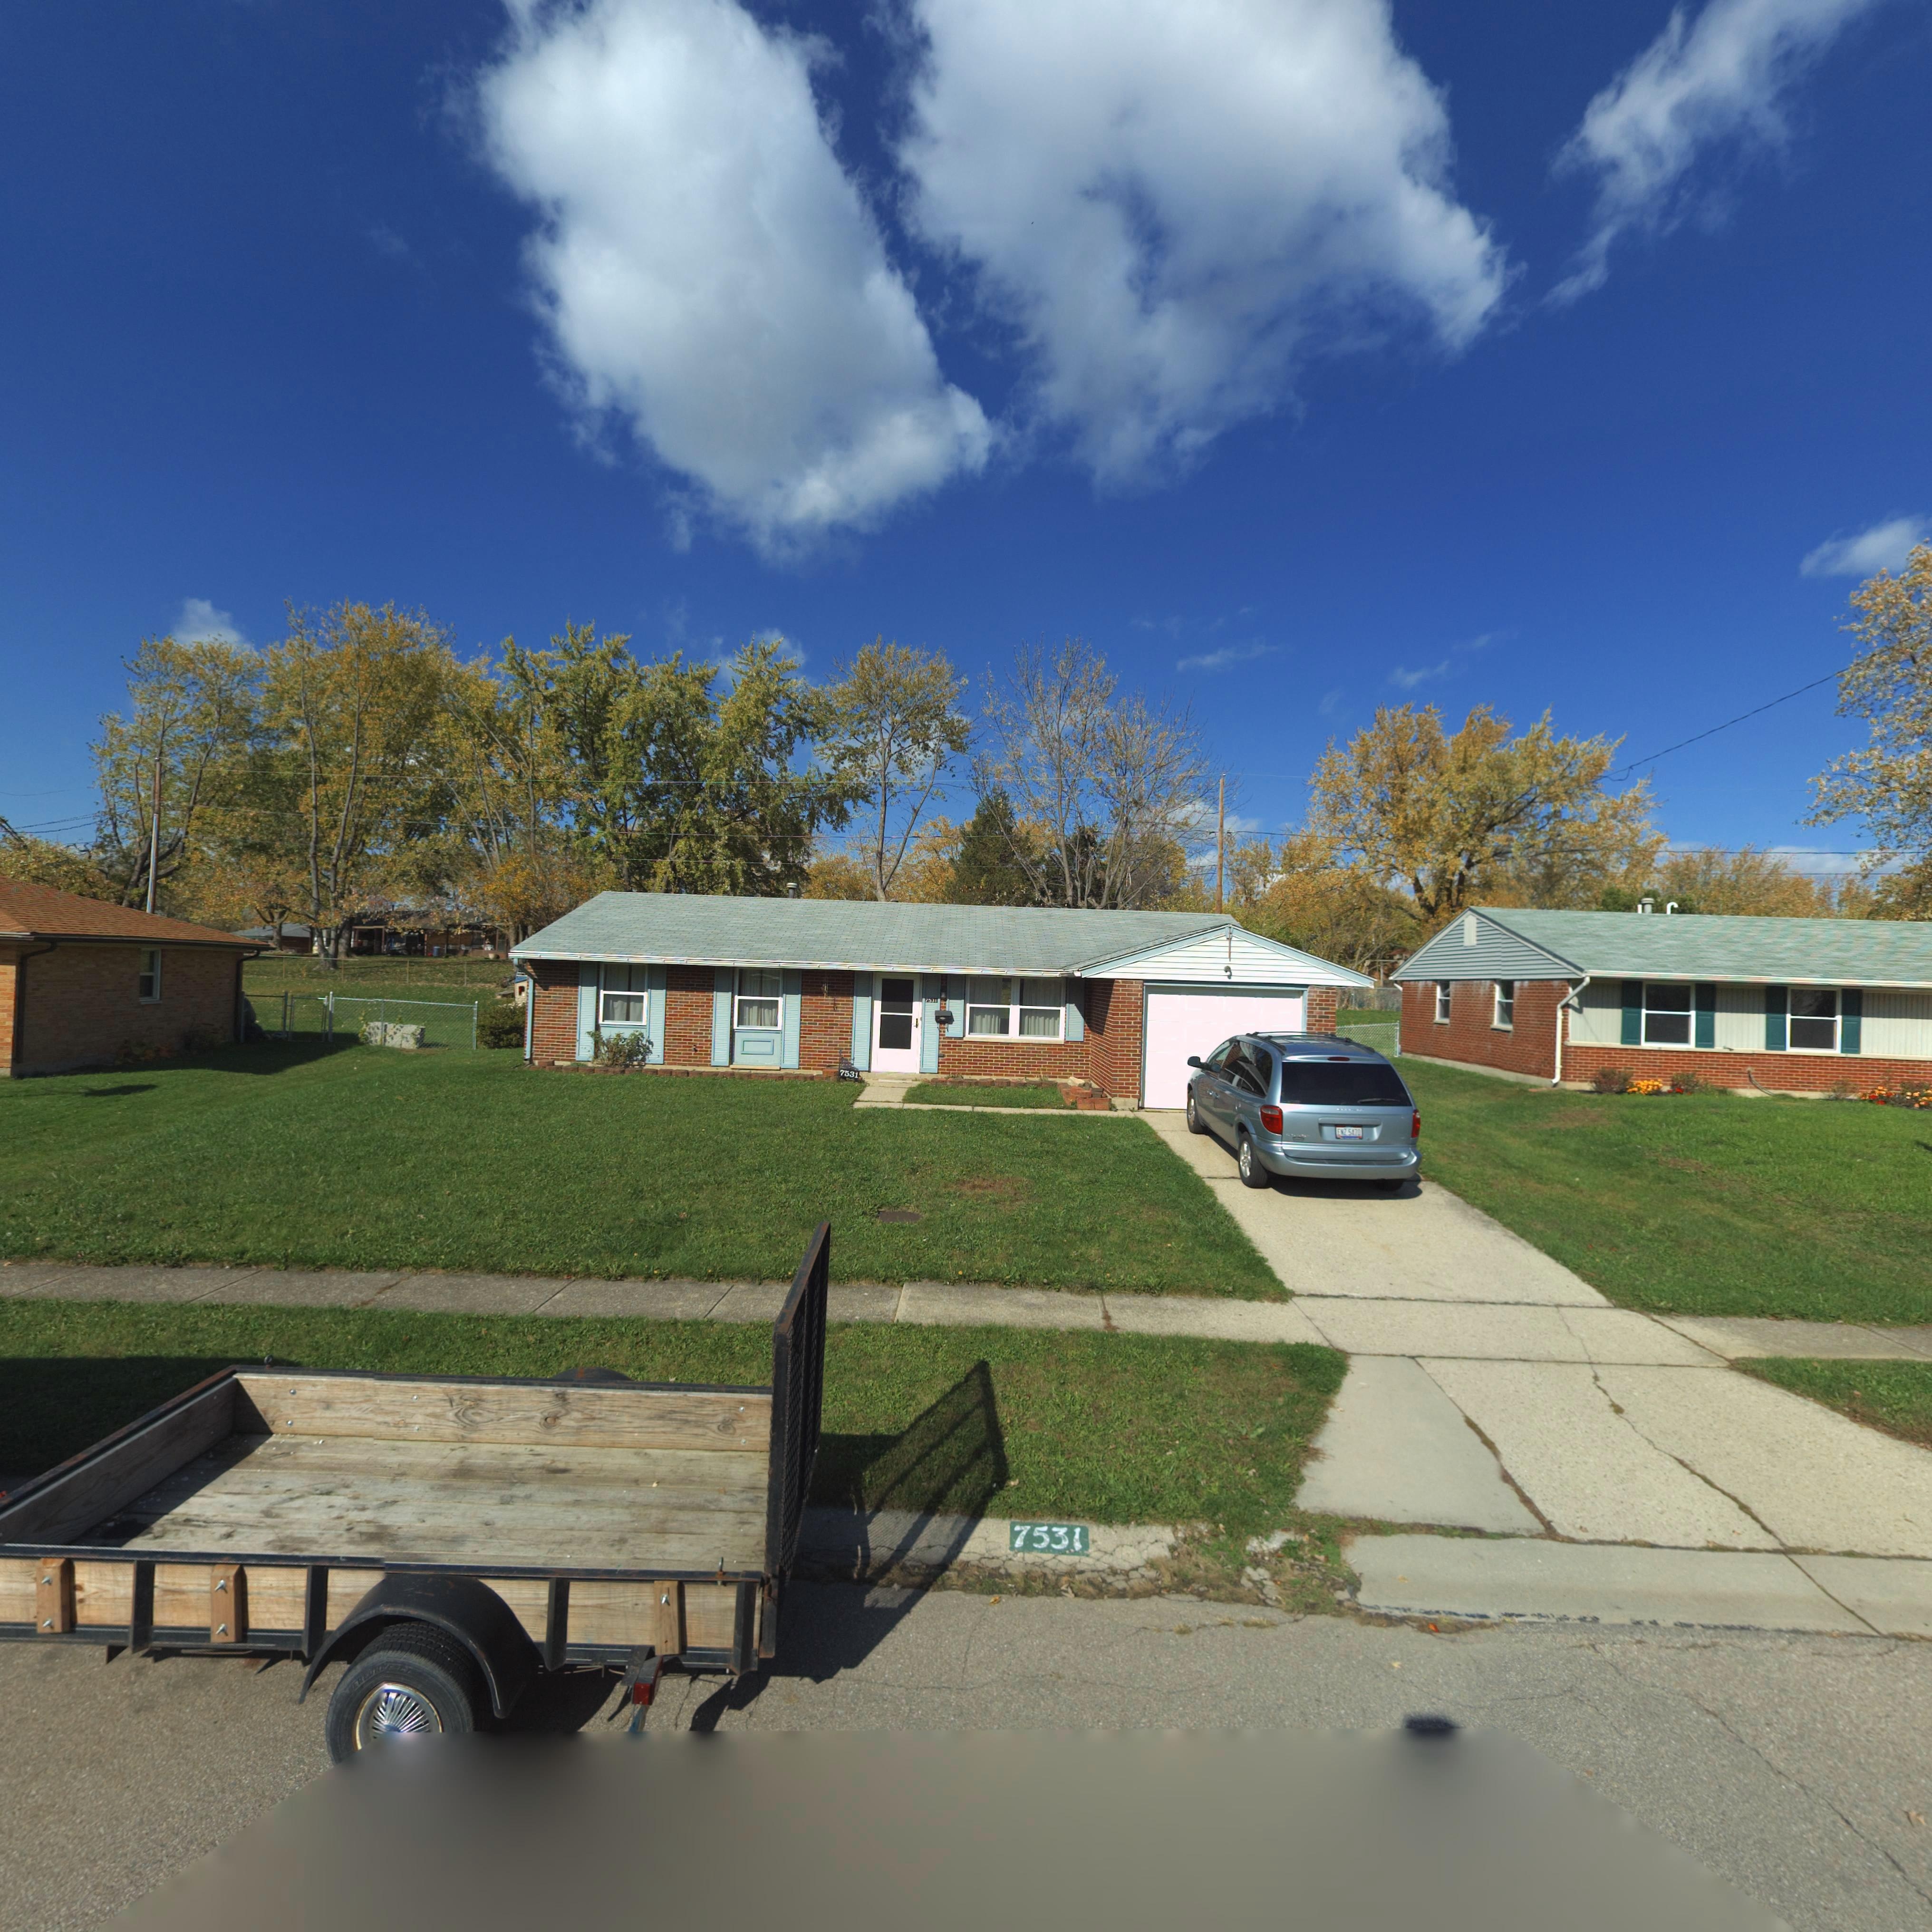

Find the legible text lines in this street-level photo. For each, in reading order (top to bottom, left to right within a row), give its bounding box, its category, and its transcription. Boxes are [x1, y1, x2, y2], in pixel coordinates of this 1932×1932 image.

[925, 997, 938, 1003] StreetNumber: 7531
[840, 1068, 859, 1079] StreetNumber: 7531
[1013, 1523, 1083, 1553] StreetNumber: 7531